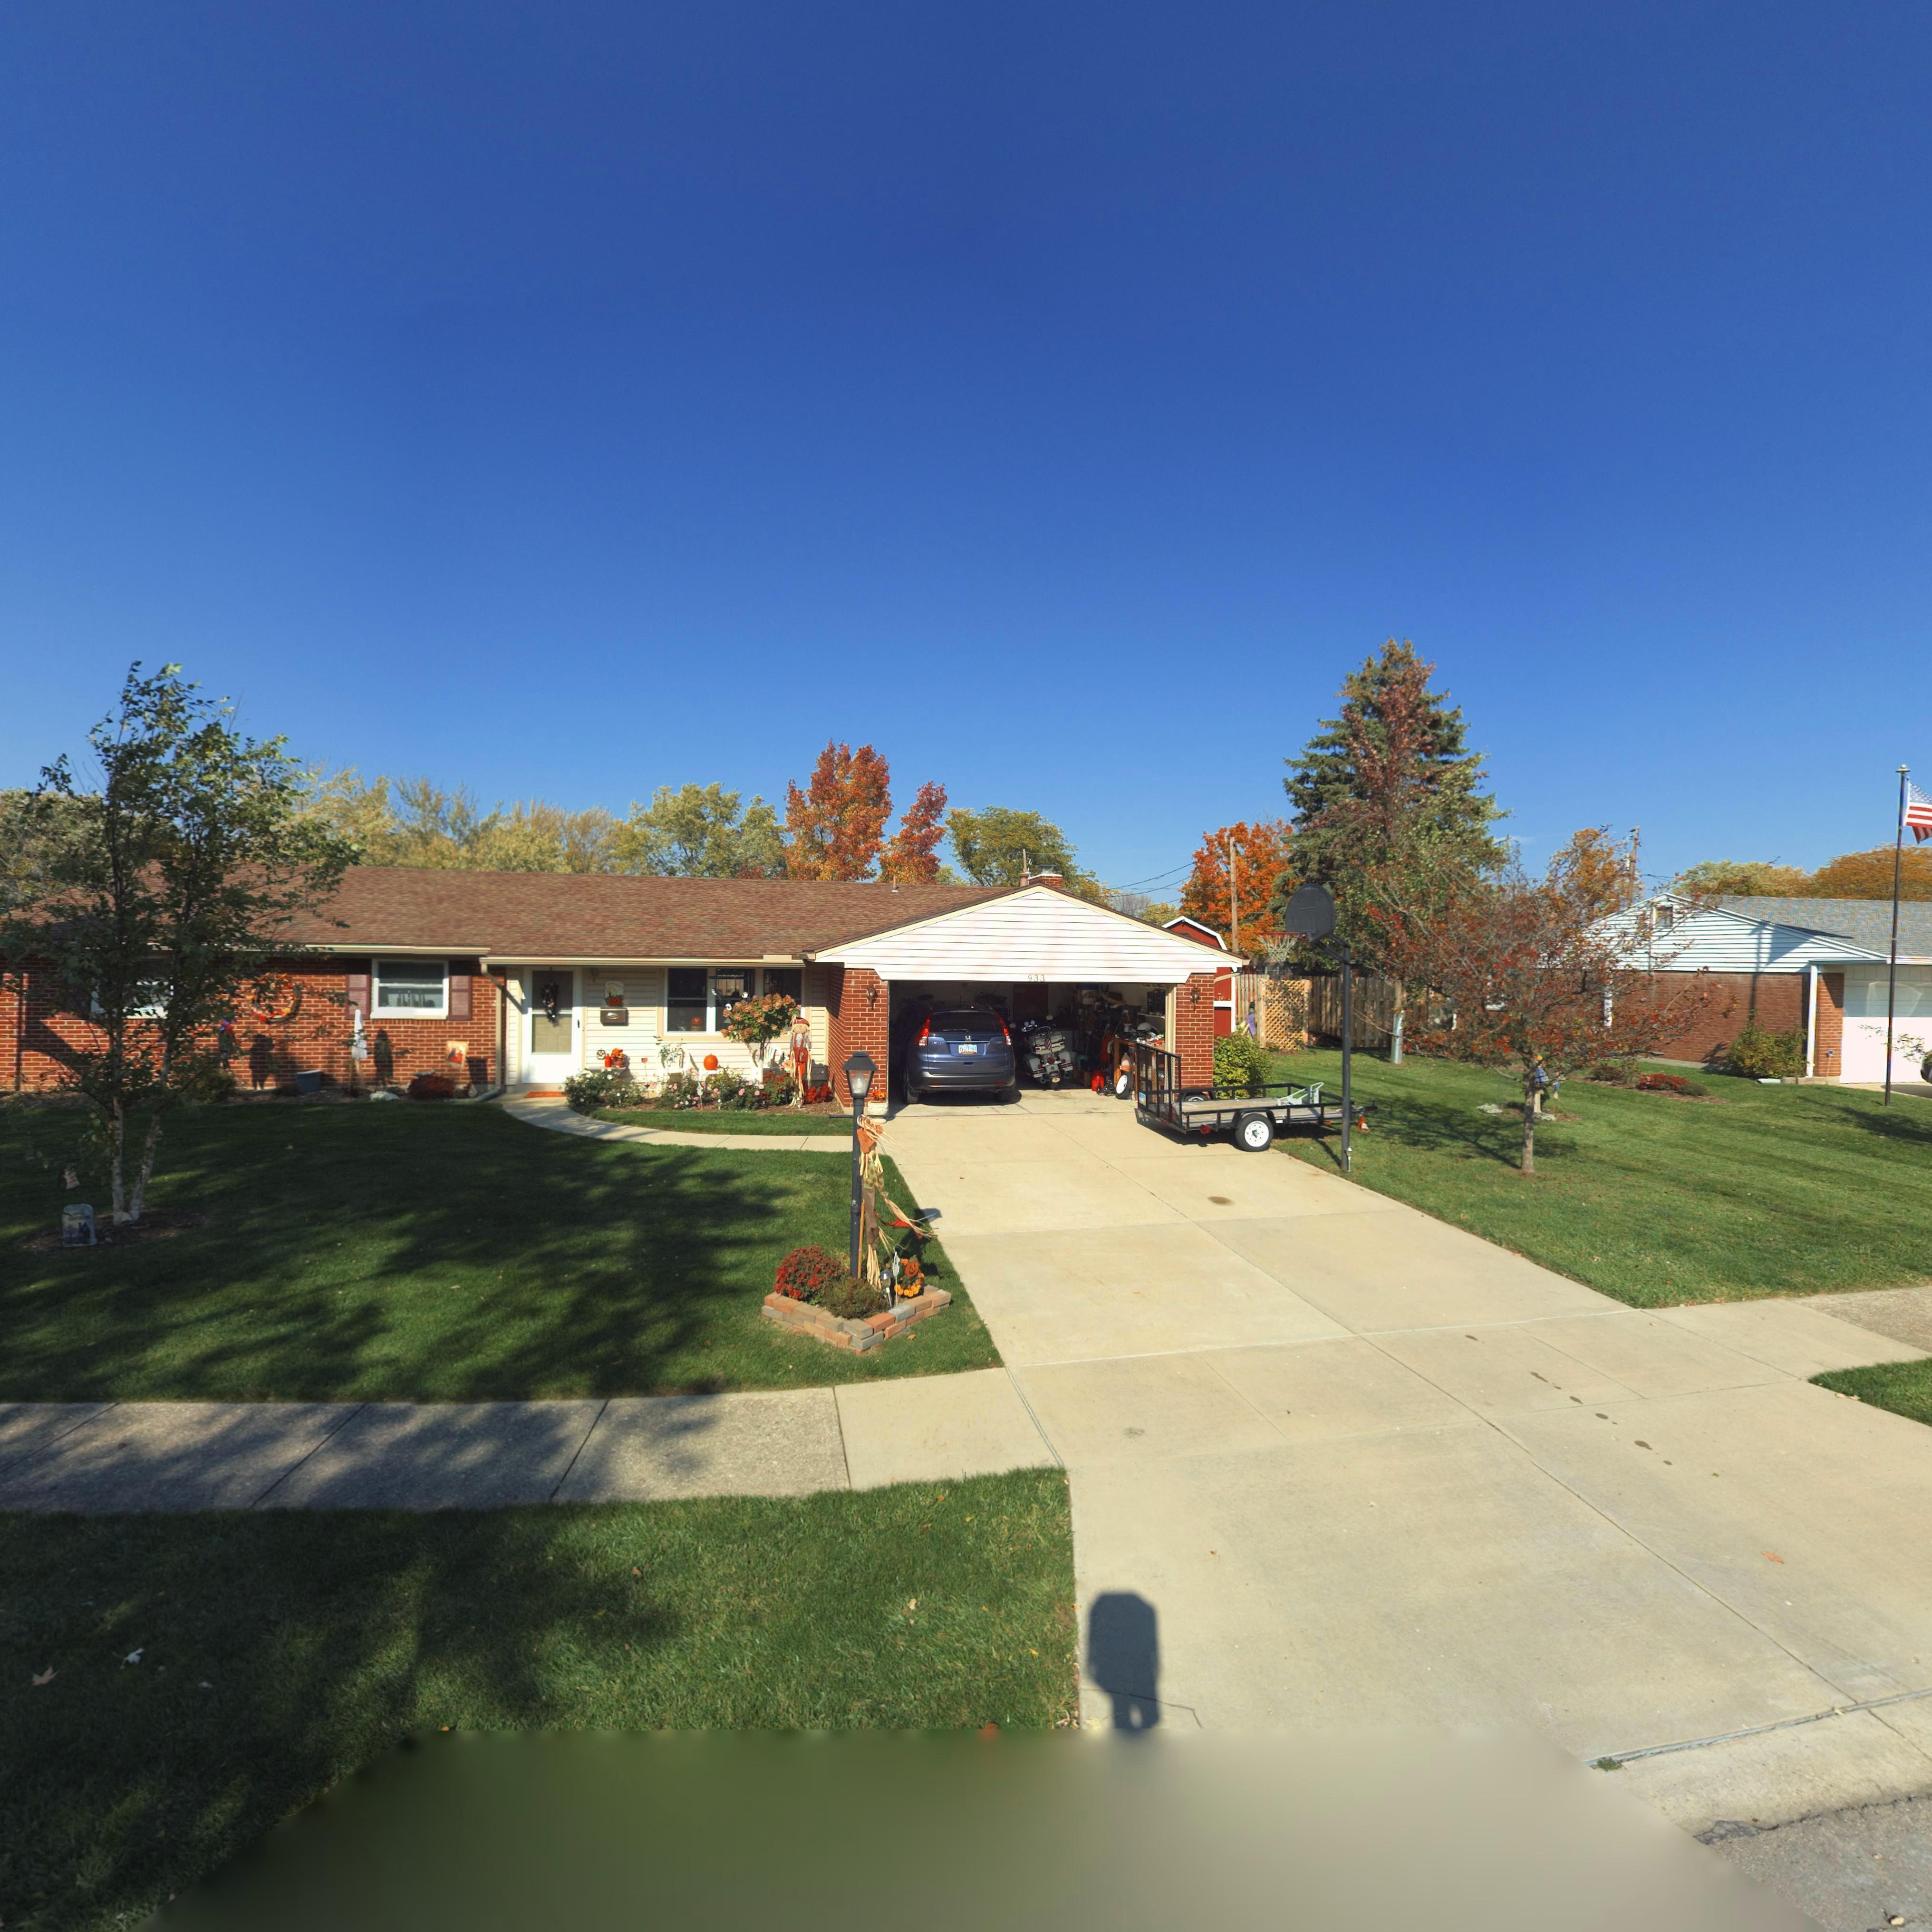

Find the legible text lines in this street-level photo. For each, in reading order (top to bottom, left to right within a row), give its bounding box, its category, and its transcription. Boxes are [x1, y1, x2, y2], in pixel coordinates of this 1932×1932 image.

[1026, 973, 1045, 984] StreetNumber: 933